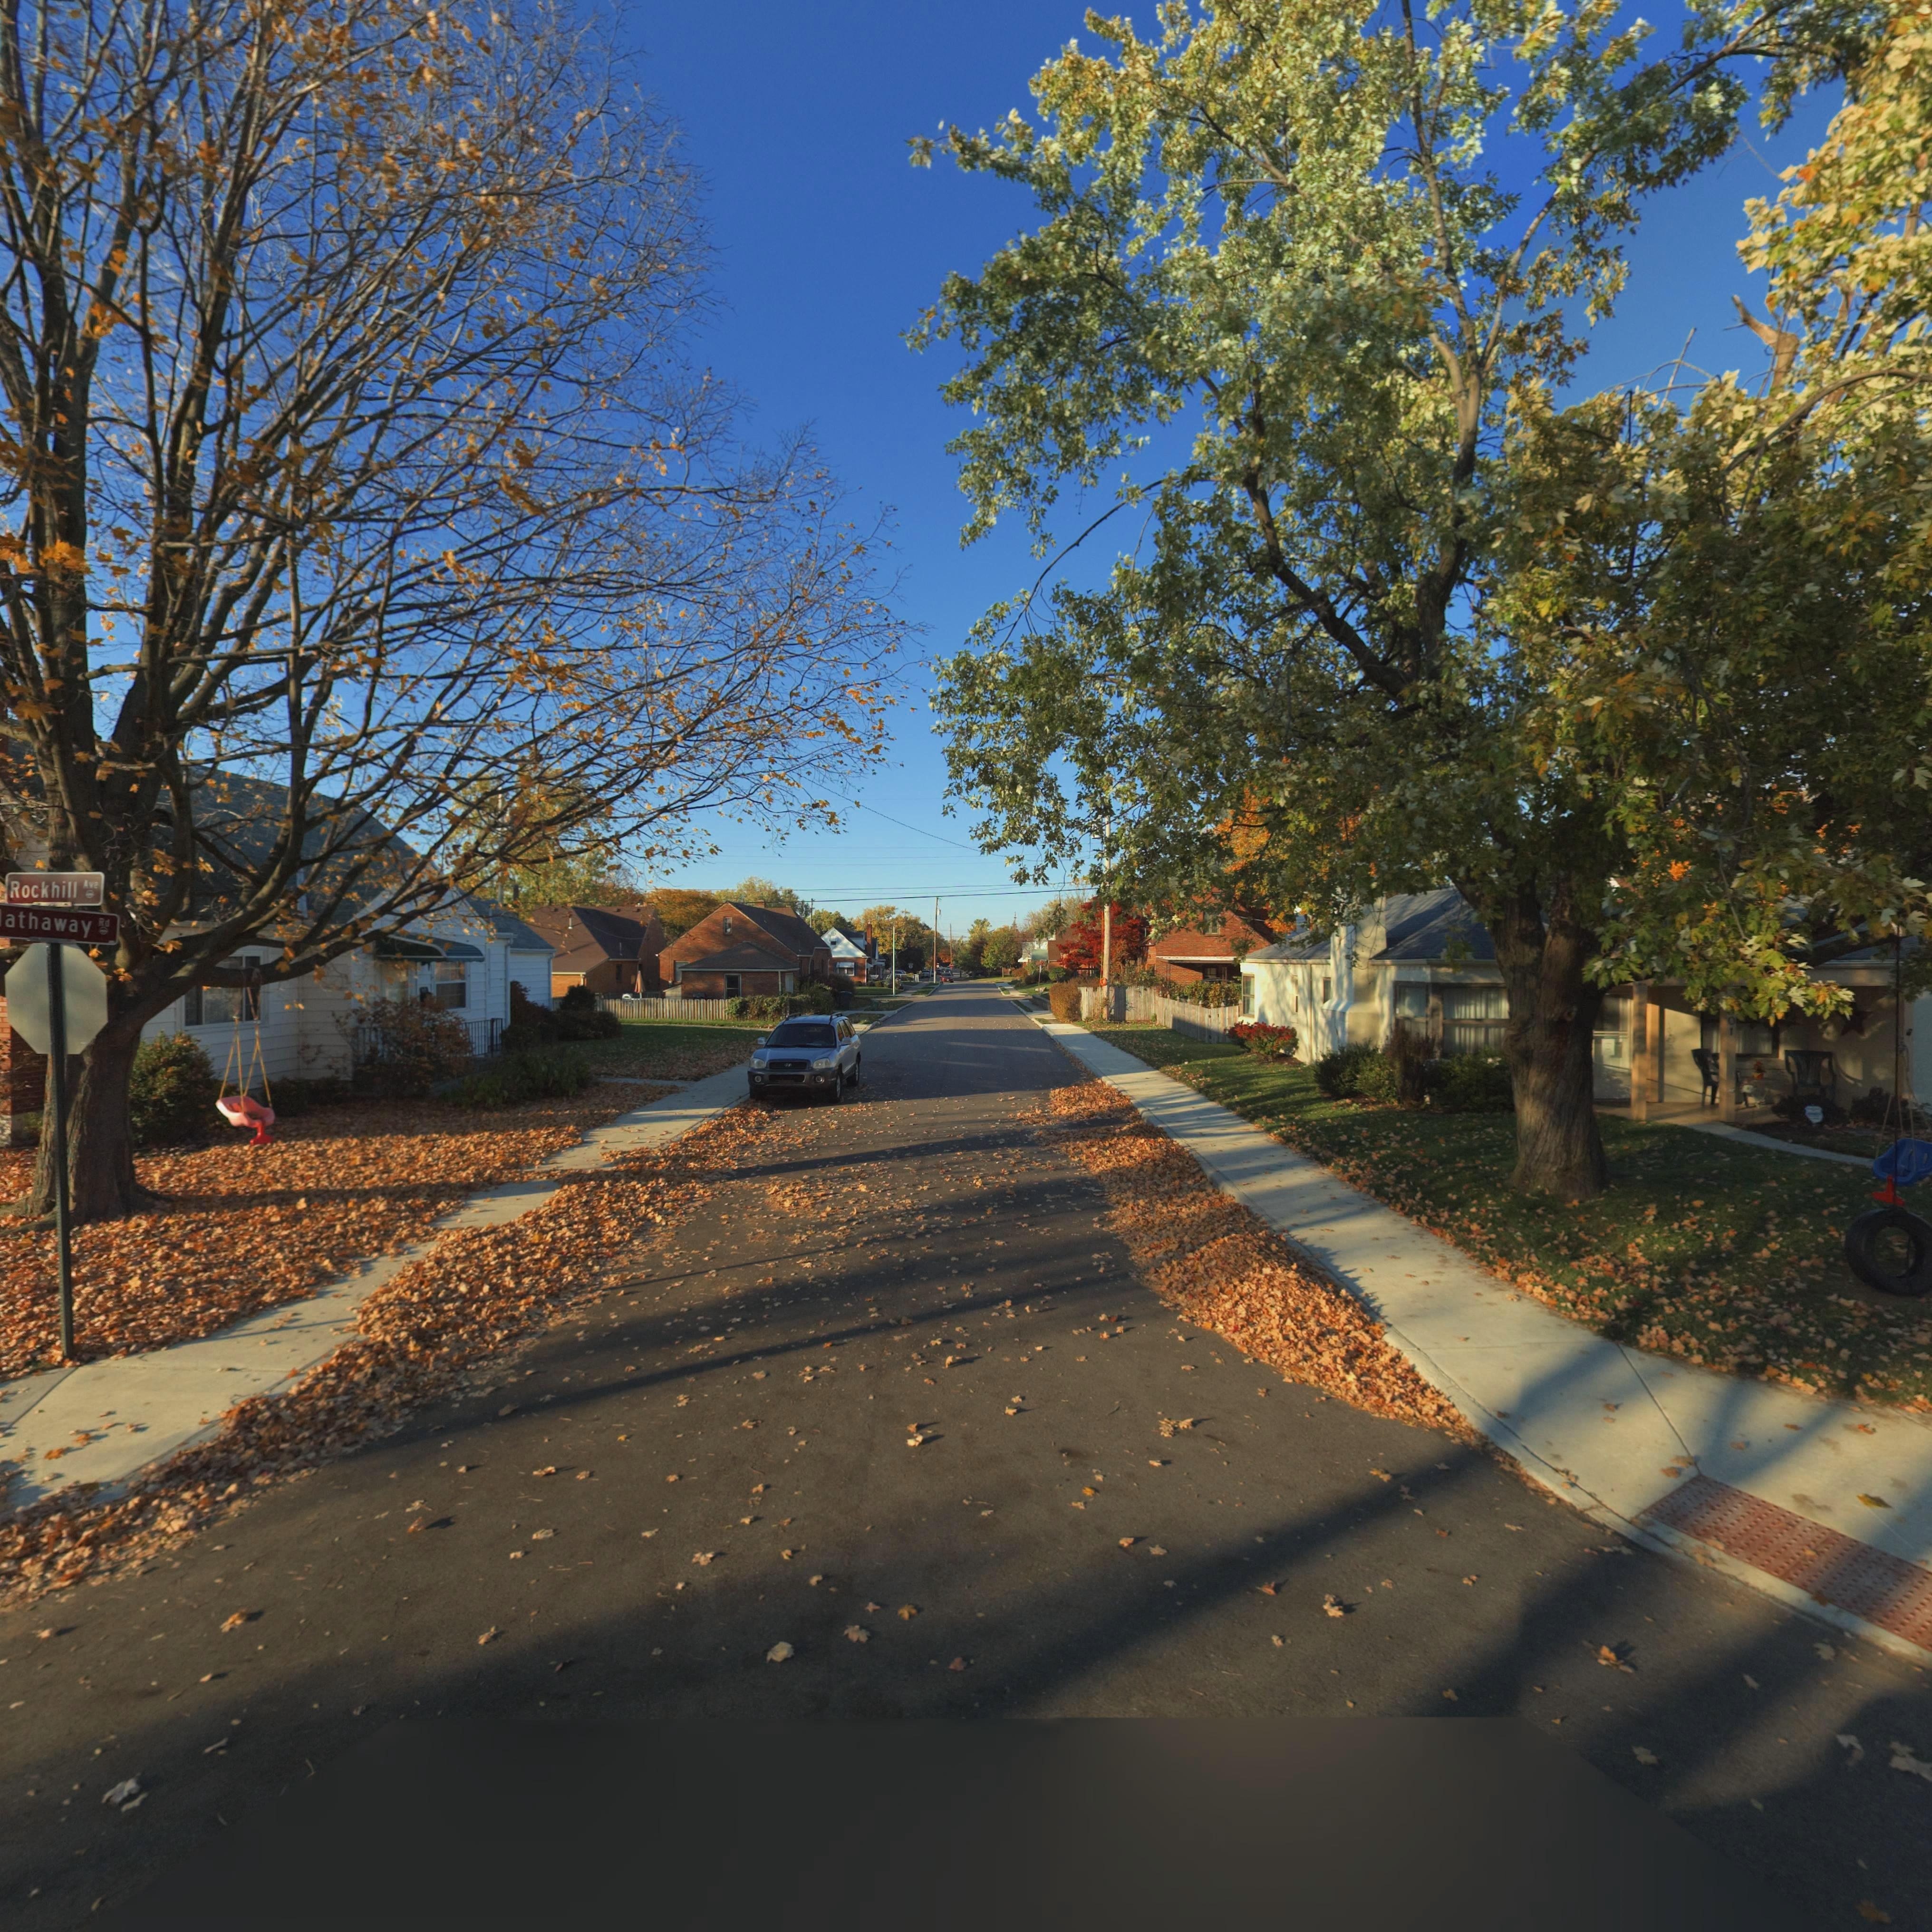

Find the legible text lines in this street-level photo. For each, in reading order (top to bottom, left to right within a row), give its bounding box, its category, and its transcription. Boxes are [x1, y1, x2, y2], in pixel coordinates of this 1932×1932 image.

[9, 879, 99, 899] StreetName: Rockhill Ave
[4, 910, 110, 940] StreetName: athaway Rd
[1728, 1016, 1736, 1036] StreetNumber: 01